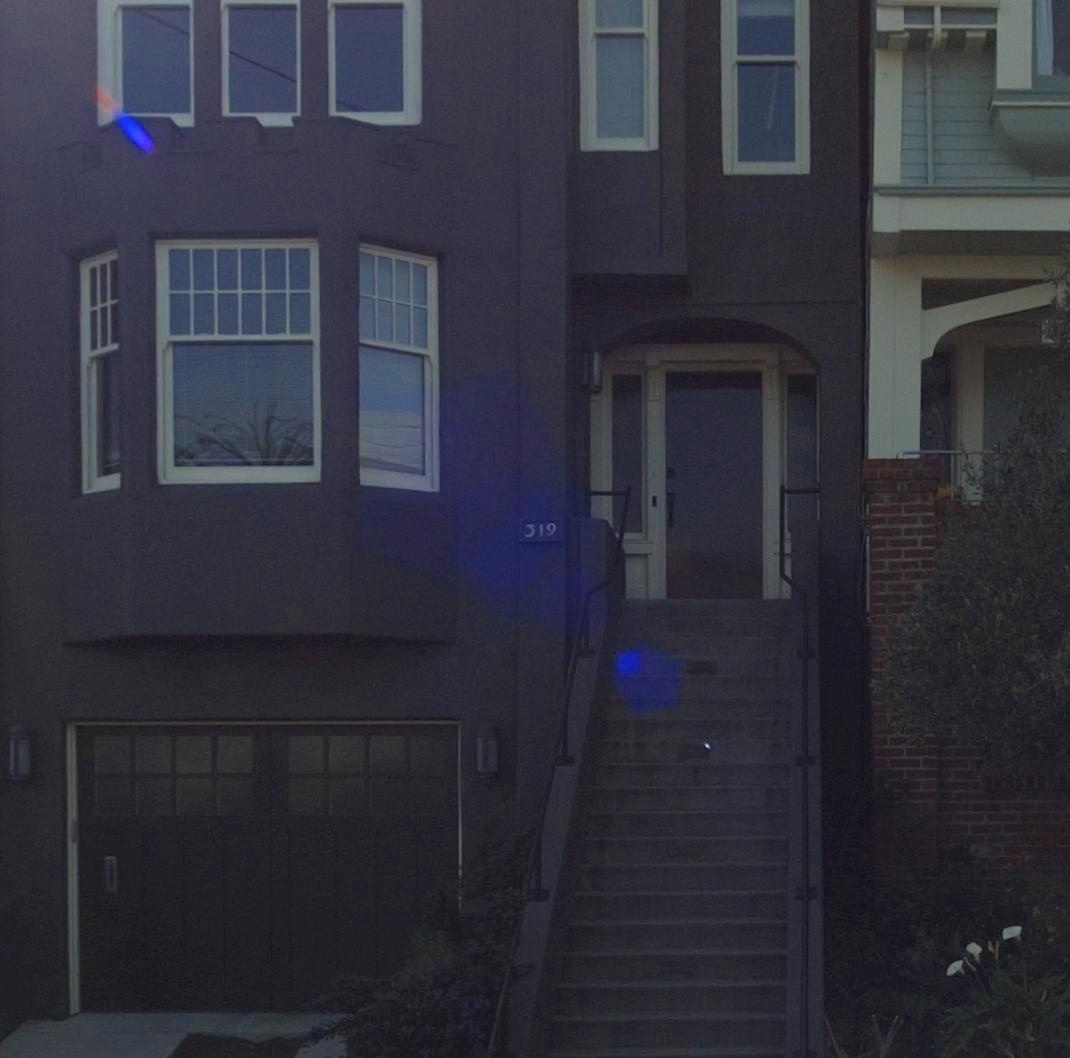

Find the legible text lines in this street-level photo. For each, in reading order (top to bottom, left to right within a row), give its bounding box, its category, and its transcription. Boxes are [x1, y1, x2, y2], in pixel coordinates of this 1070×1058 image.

[523, 521, 559, 539] StreetNumber: 319